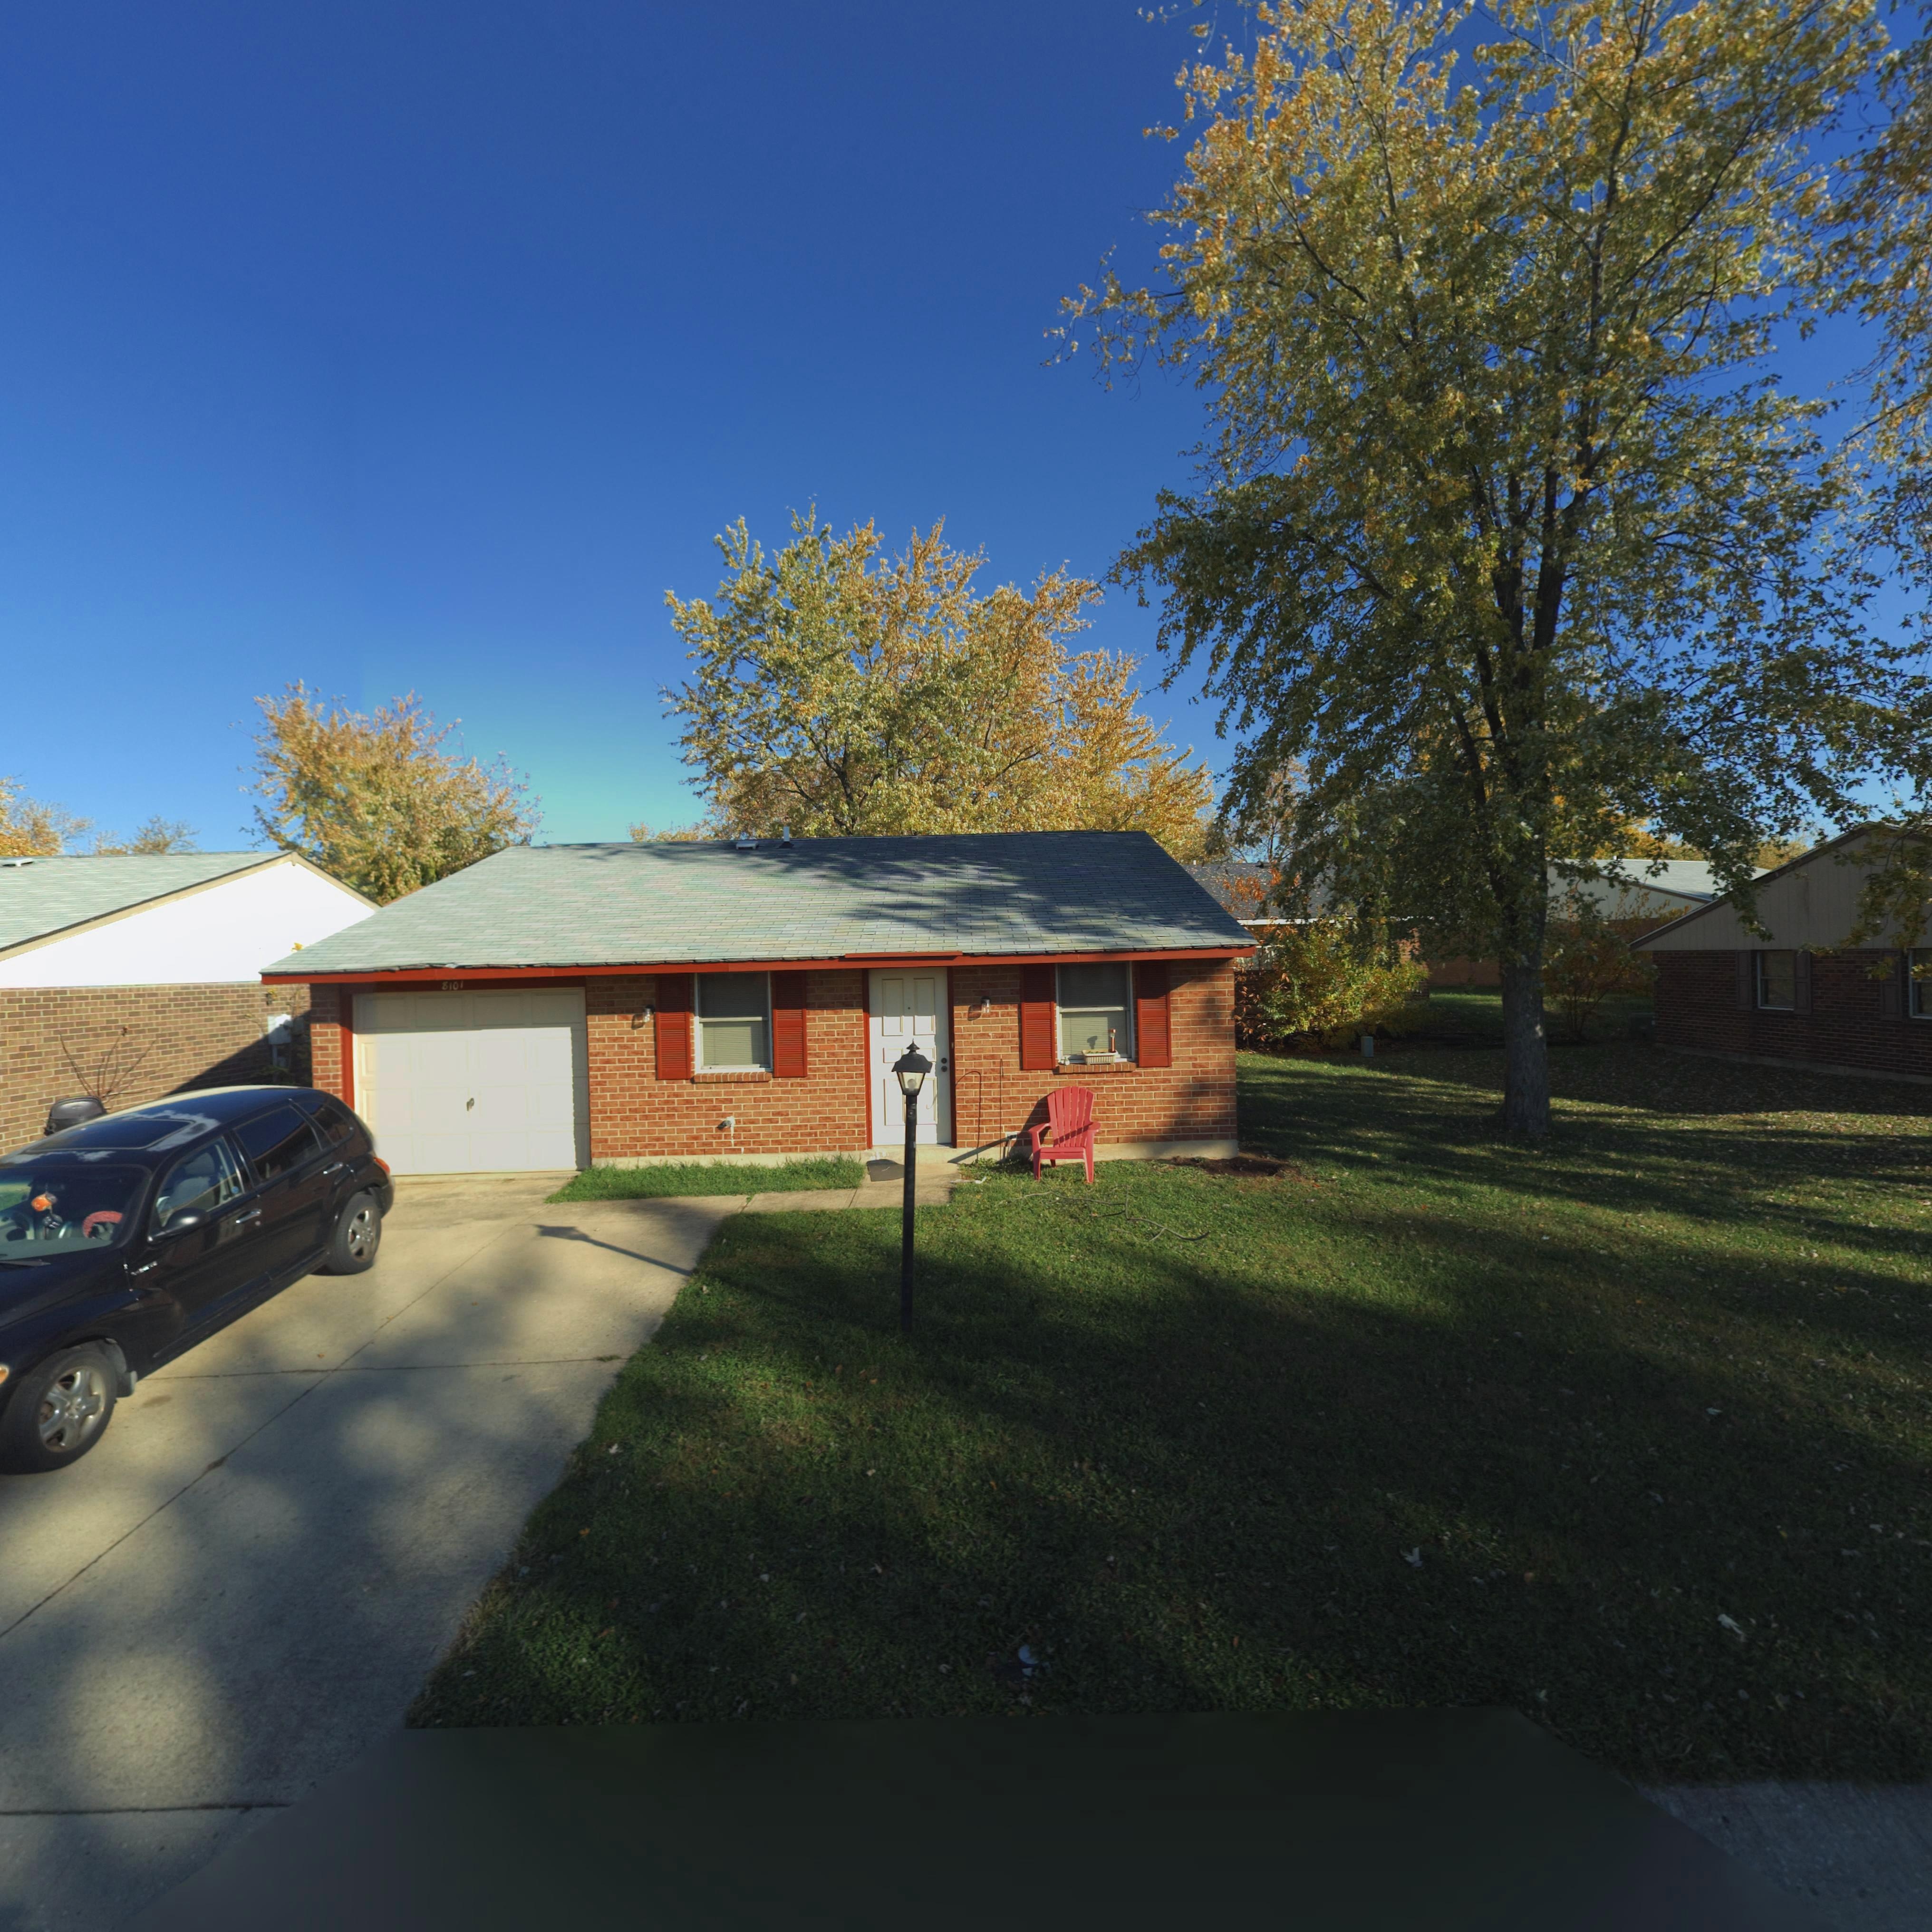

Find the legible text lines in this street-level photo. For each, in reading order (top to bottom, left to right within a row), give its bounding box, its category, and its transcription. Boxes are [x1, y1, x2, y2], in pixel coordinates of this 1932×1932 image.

[441, 979, 465, 992] StreetNumber: 8101